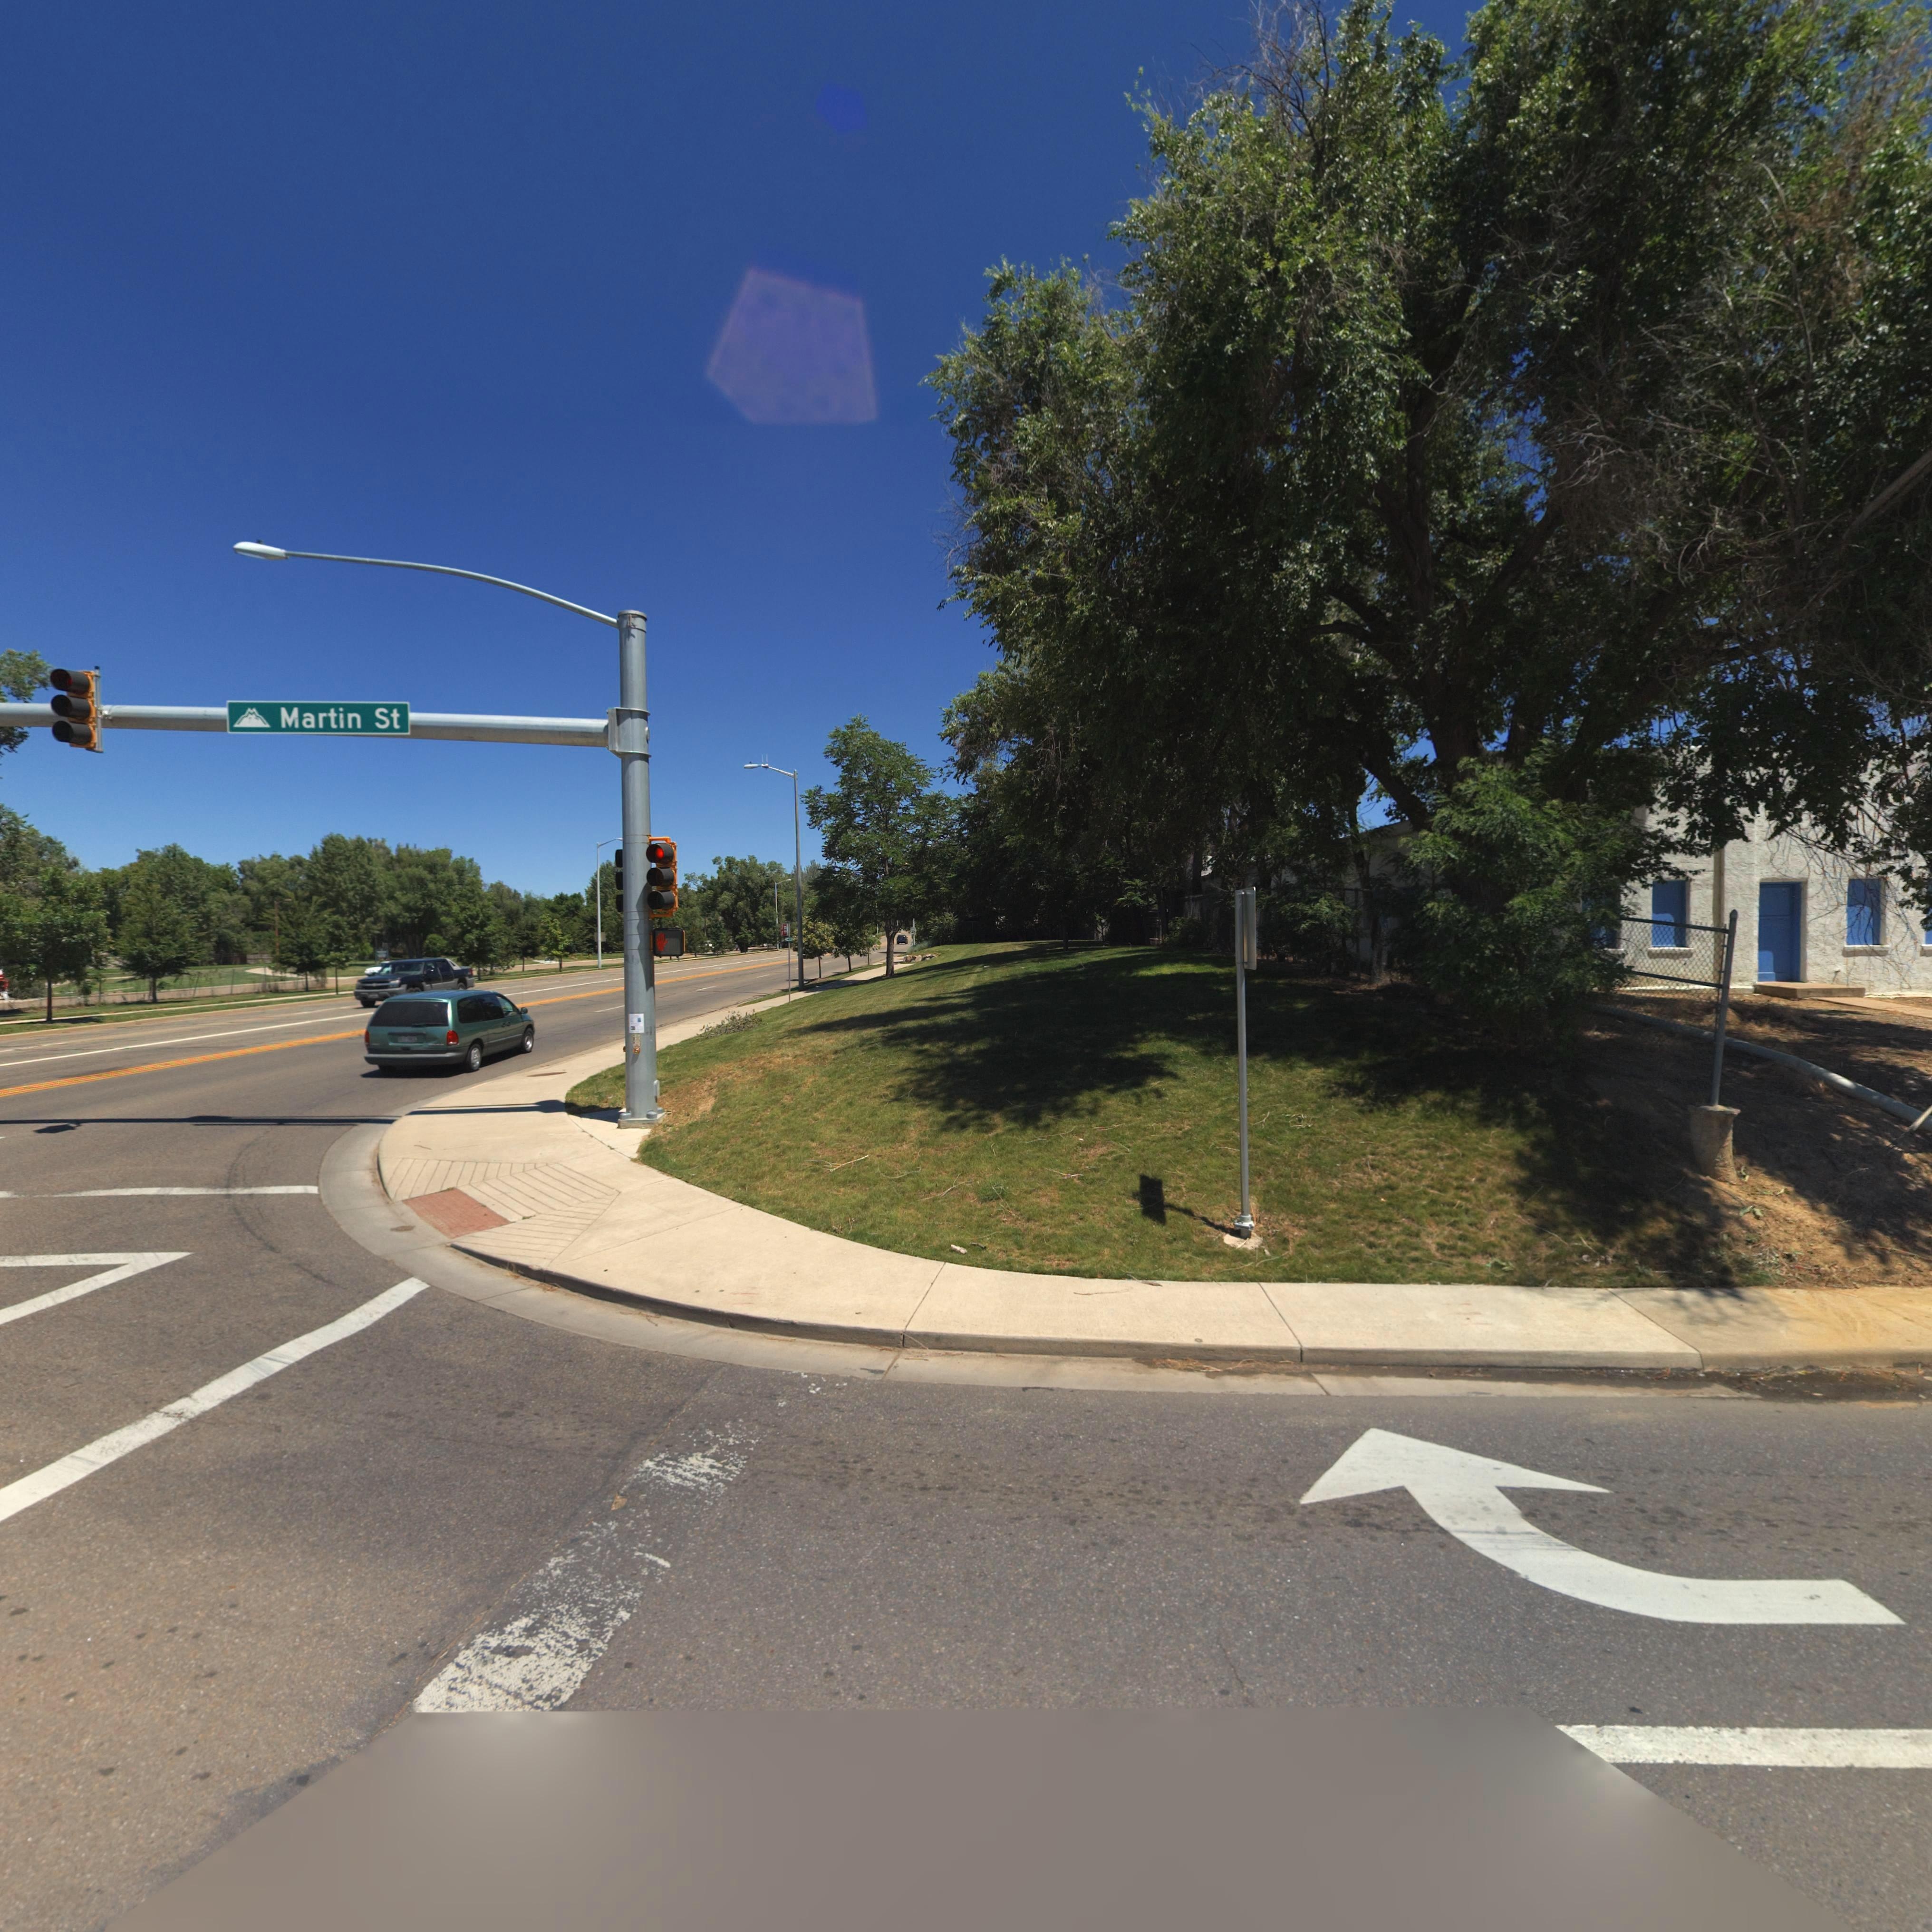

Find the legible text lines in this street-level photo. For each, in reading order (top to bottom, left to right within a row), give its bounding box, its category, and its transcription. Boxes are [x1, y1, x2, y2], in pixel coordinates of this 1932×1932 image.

[280, 706, 401, 729] StreetName: Martin St